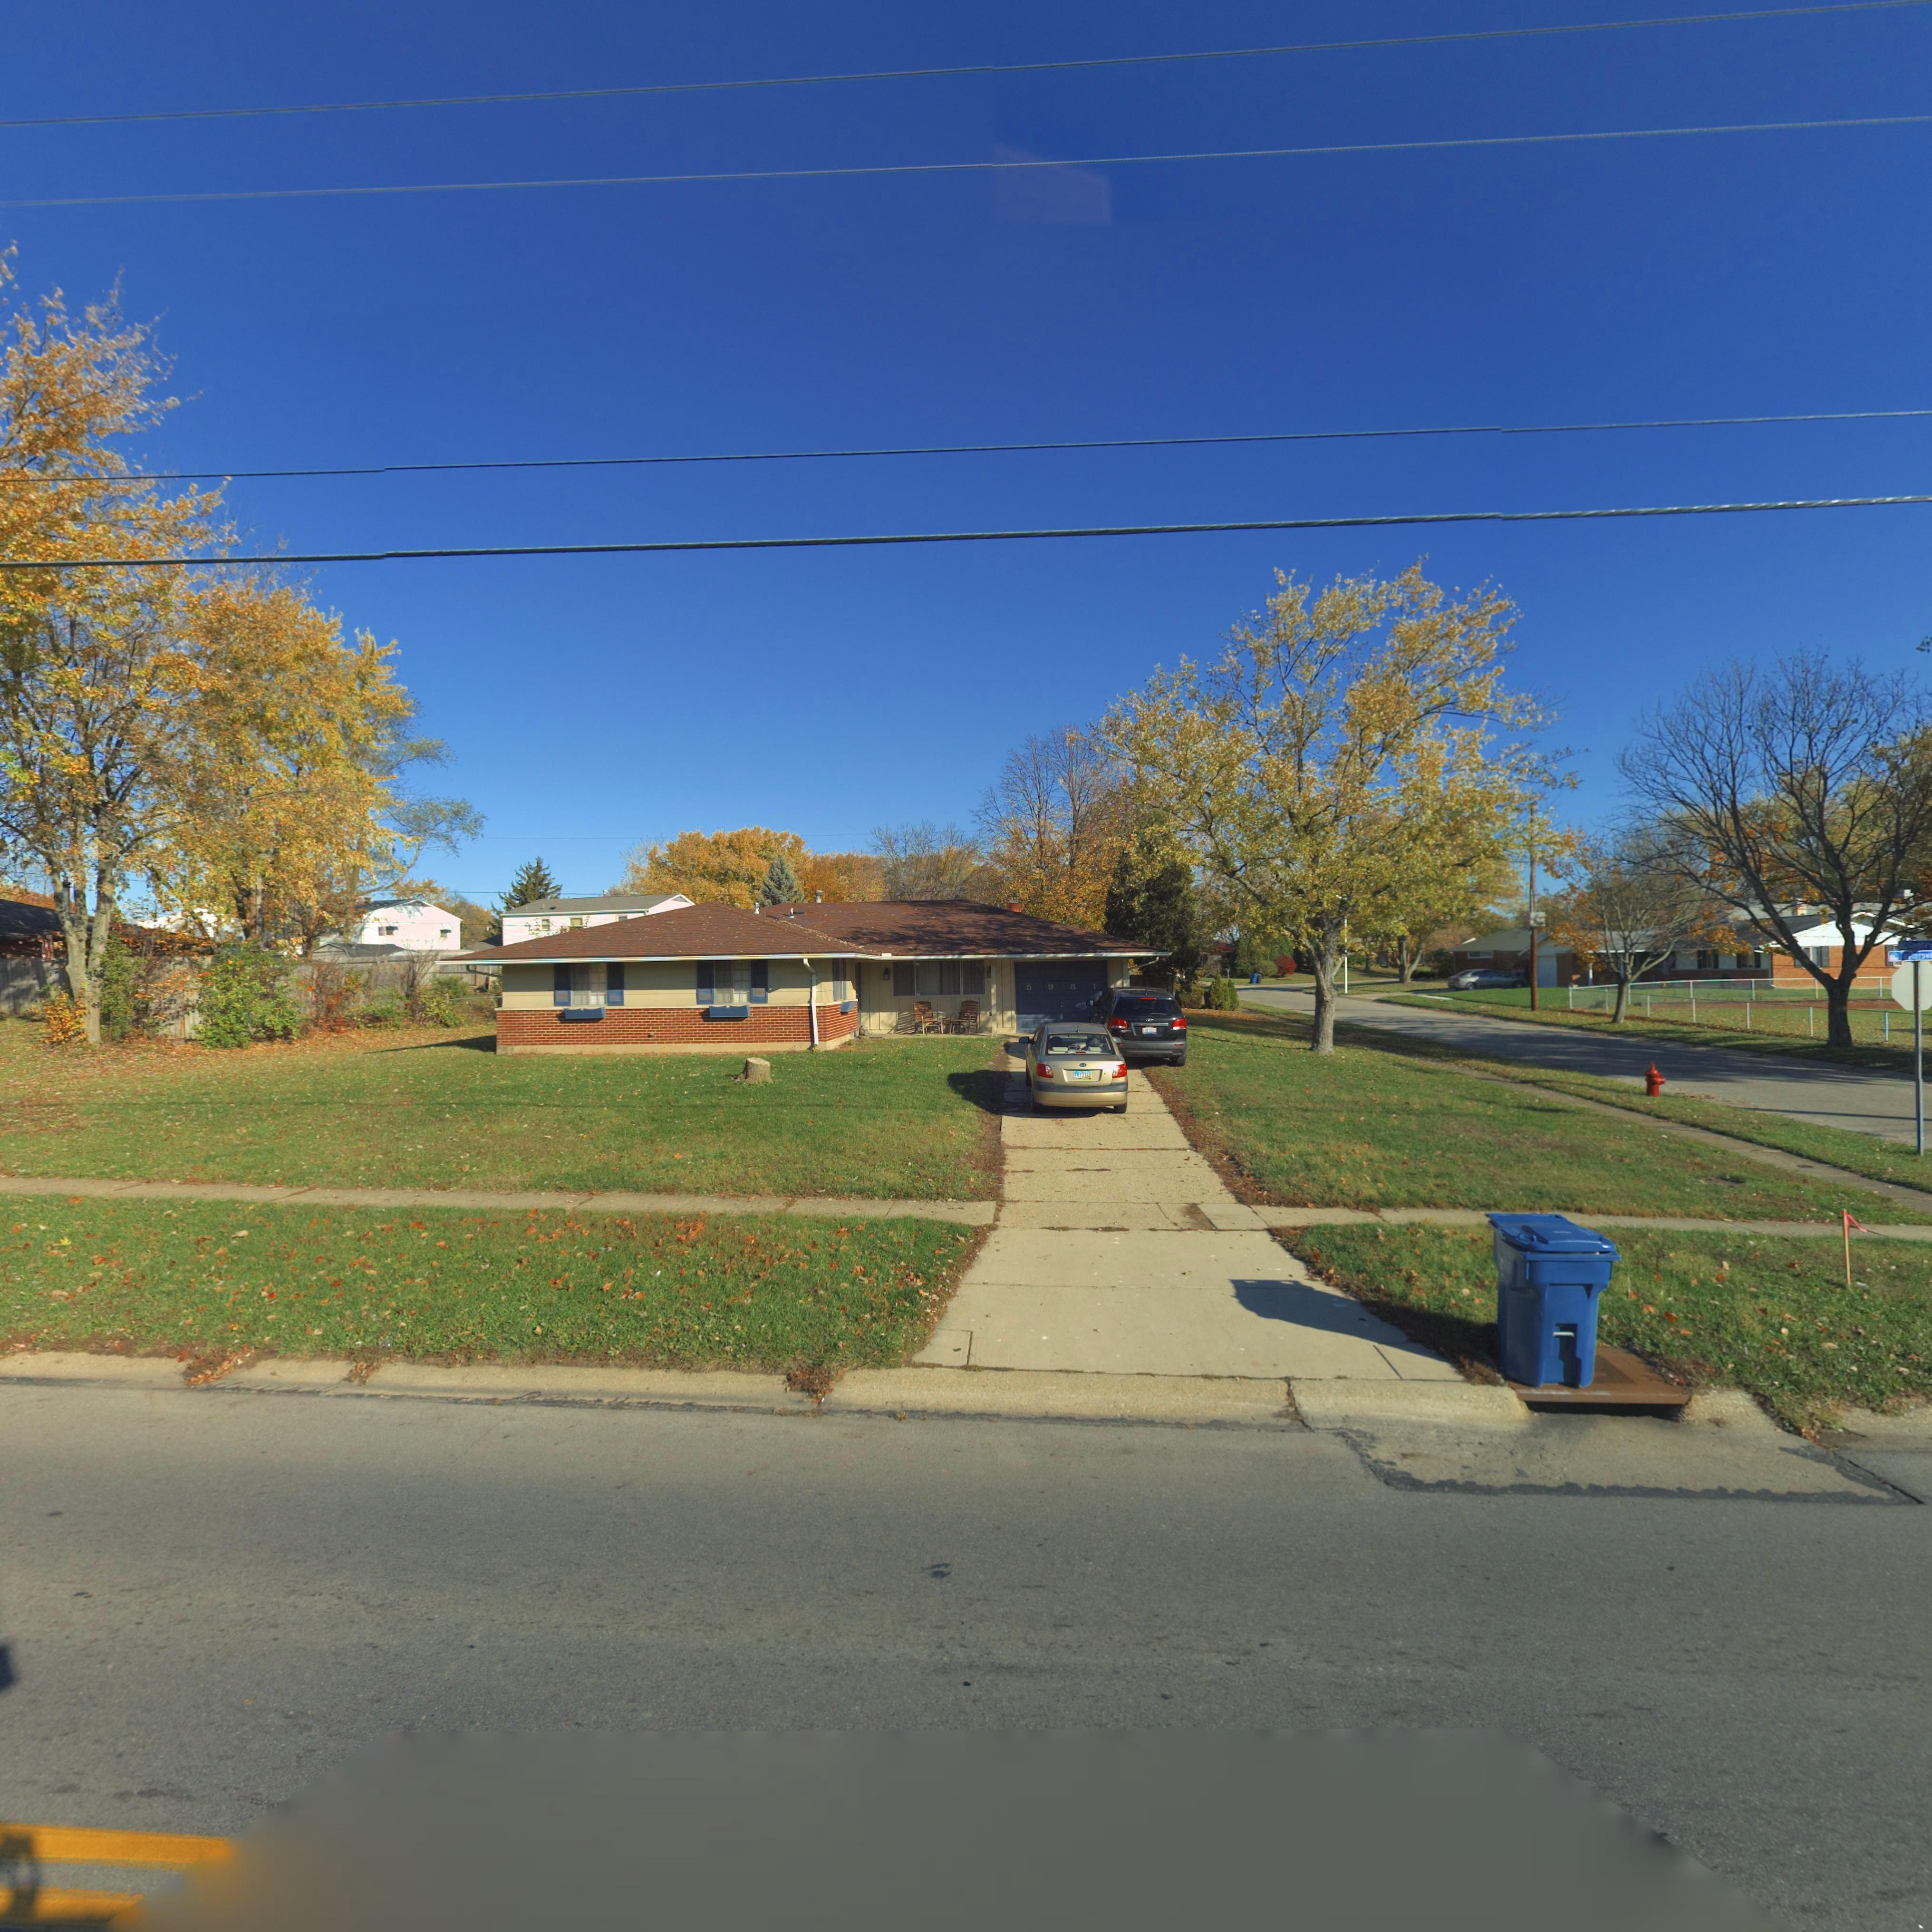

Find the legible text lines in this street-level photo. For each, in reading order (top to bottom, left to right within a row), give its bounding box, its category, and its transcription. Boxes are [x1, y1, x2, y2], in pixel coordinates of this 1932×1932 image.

[1026, 983, 1097, 991] StreetNumber: 5981